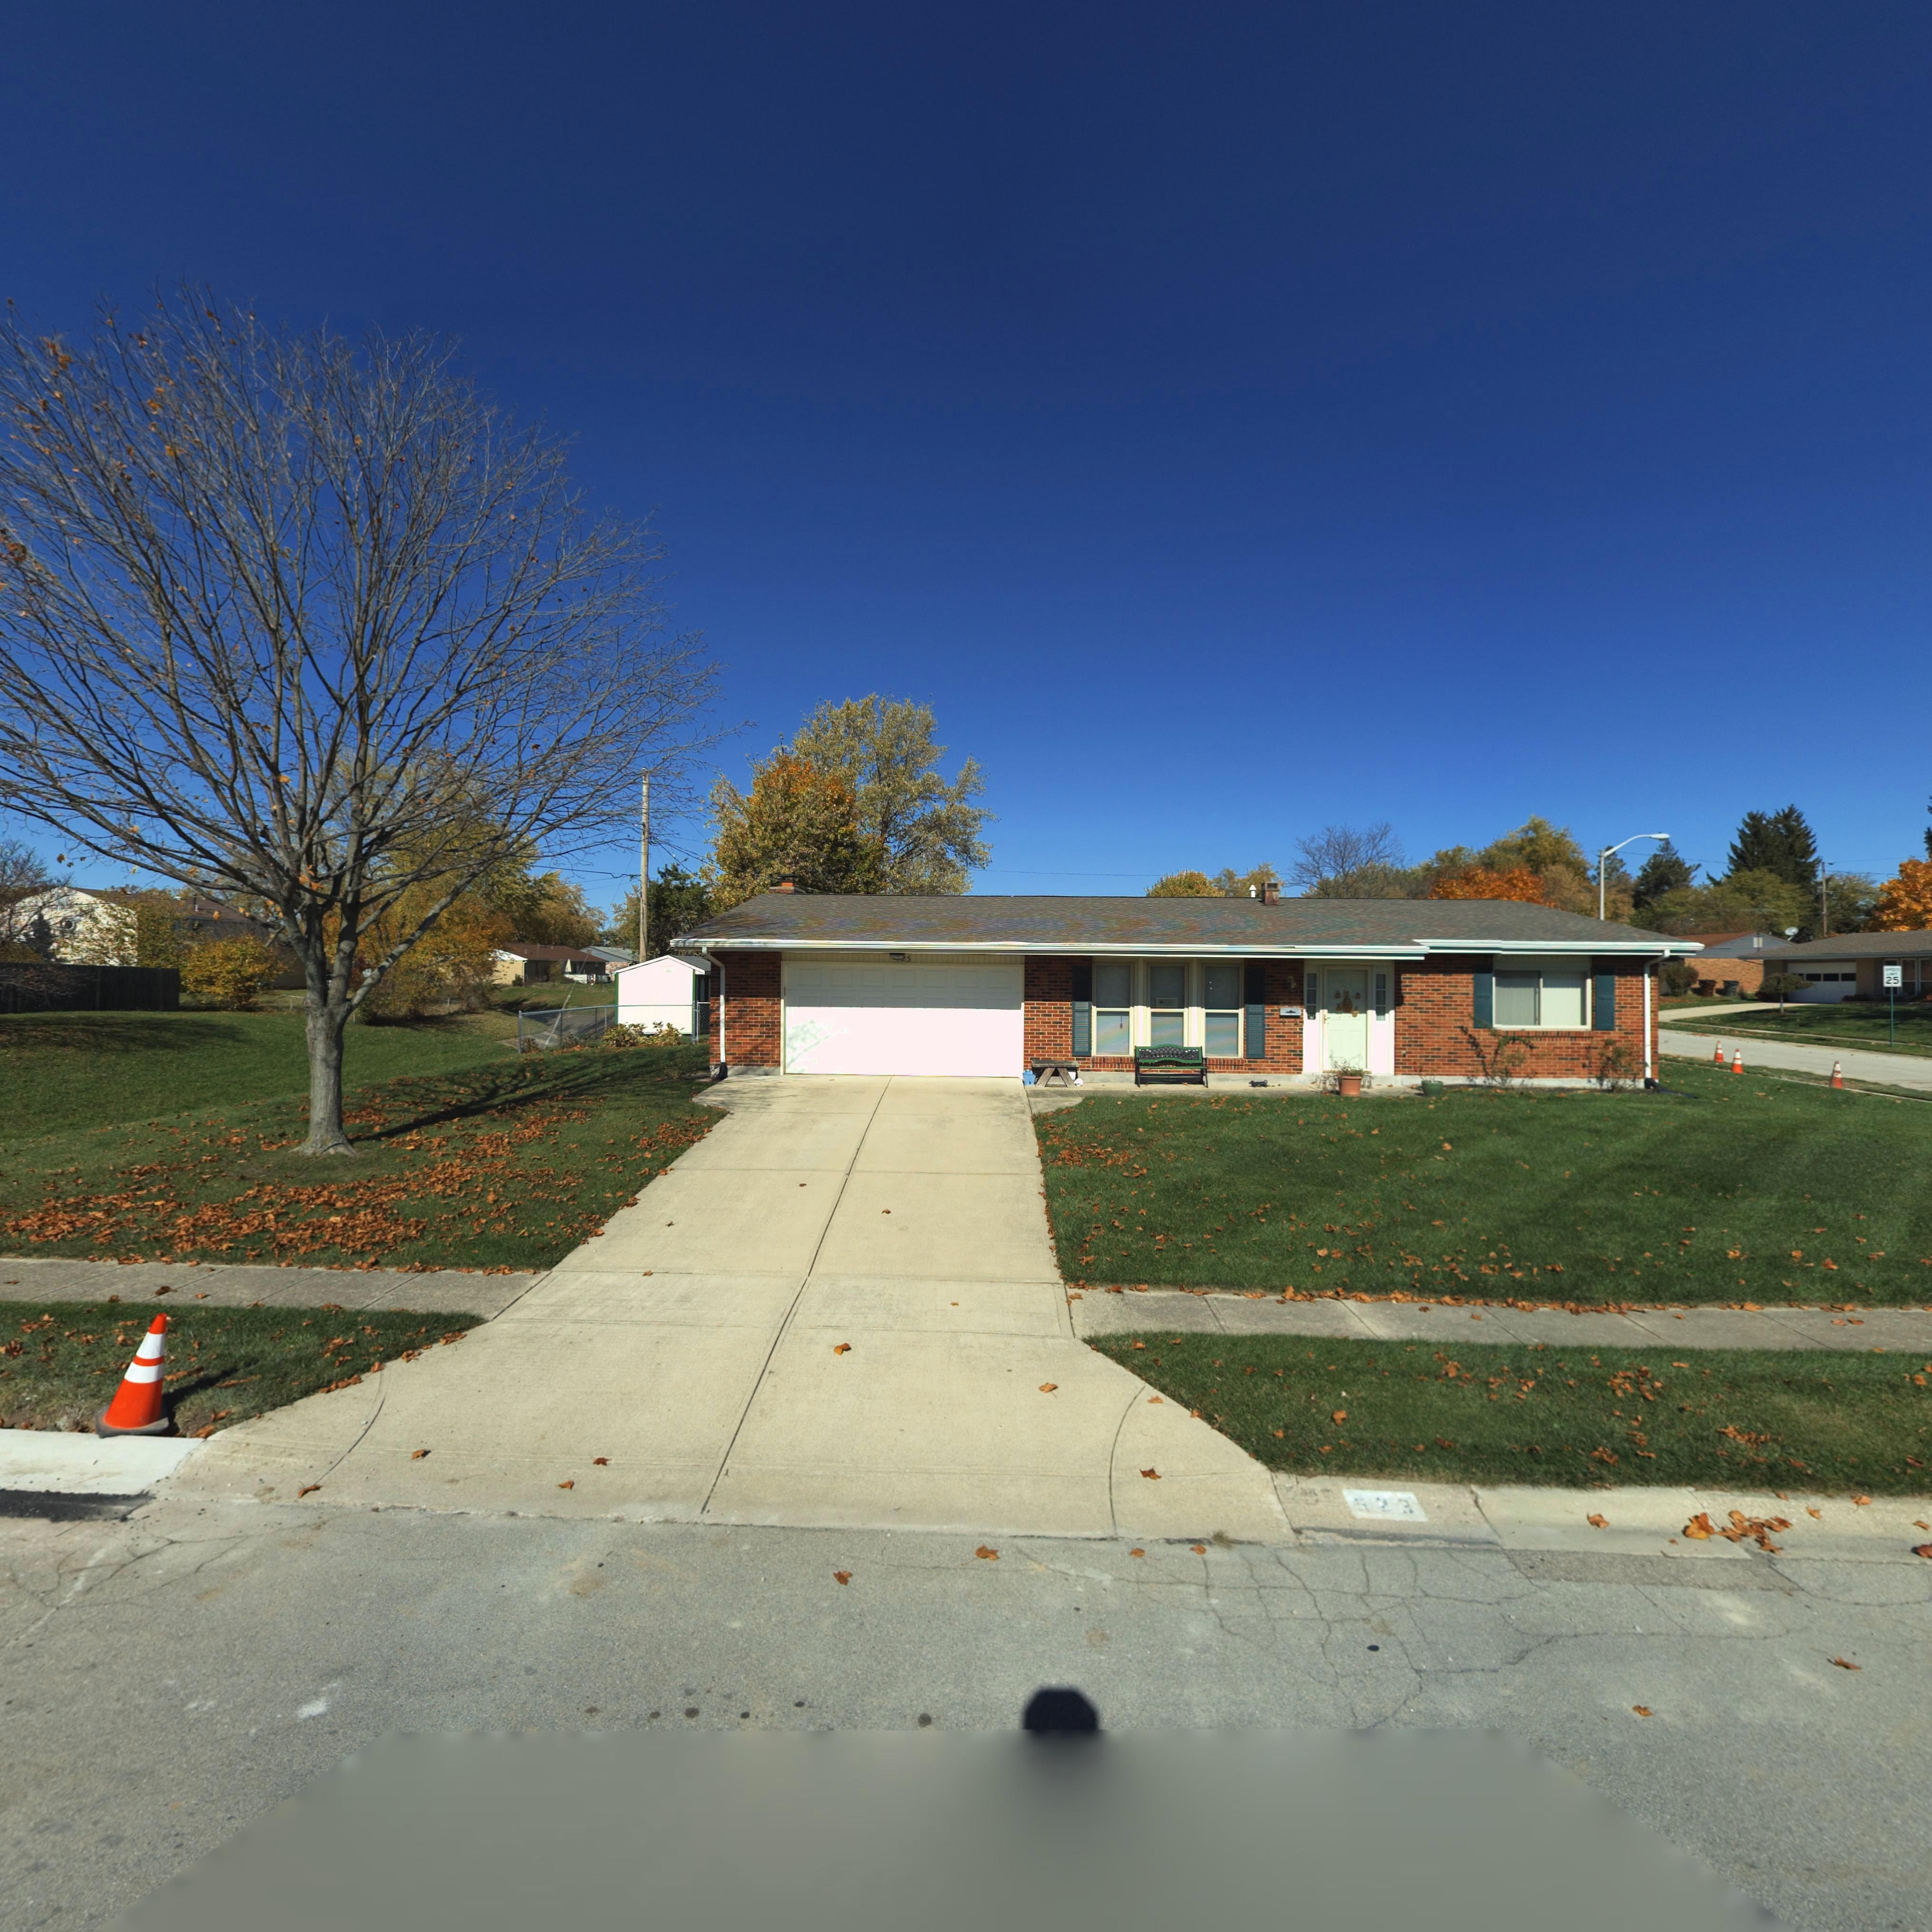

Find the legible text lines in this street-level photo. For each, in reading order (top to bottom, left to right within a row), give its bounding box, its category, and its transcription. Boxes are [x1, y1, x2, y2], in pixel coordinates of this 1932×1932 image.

[906, 955, 911, 963] StreetNumber: 3
[1353, 1495, 1418, 1517] StreetNumber: *23